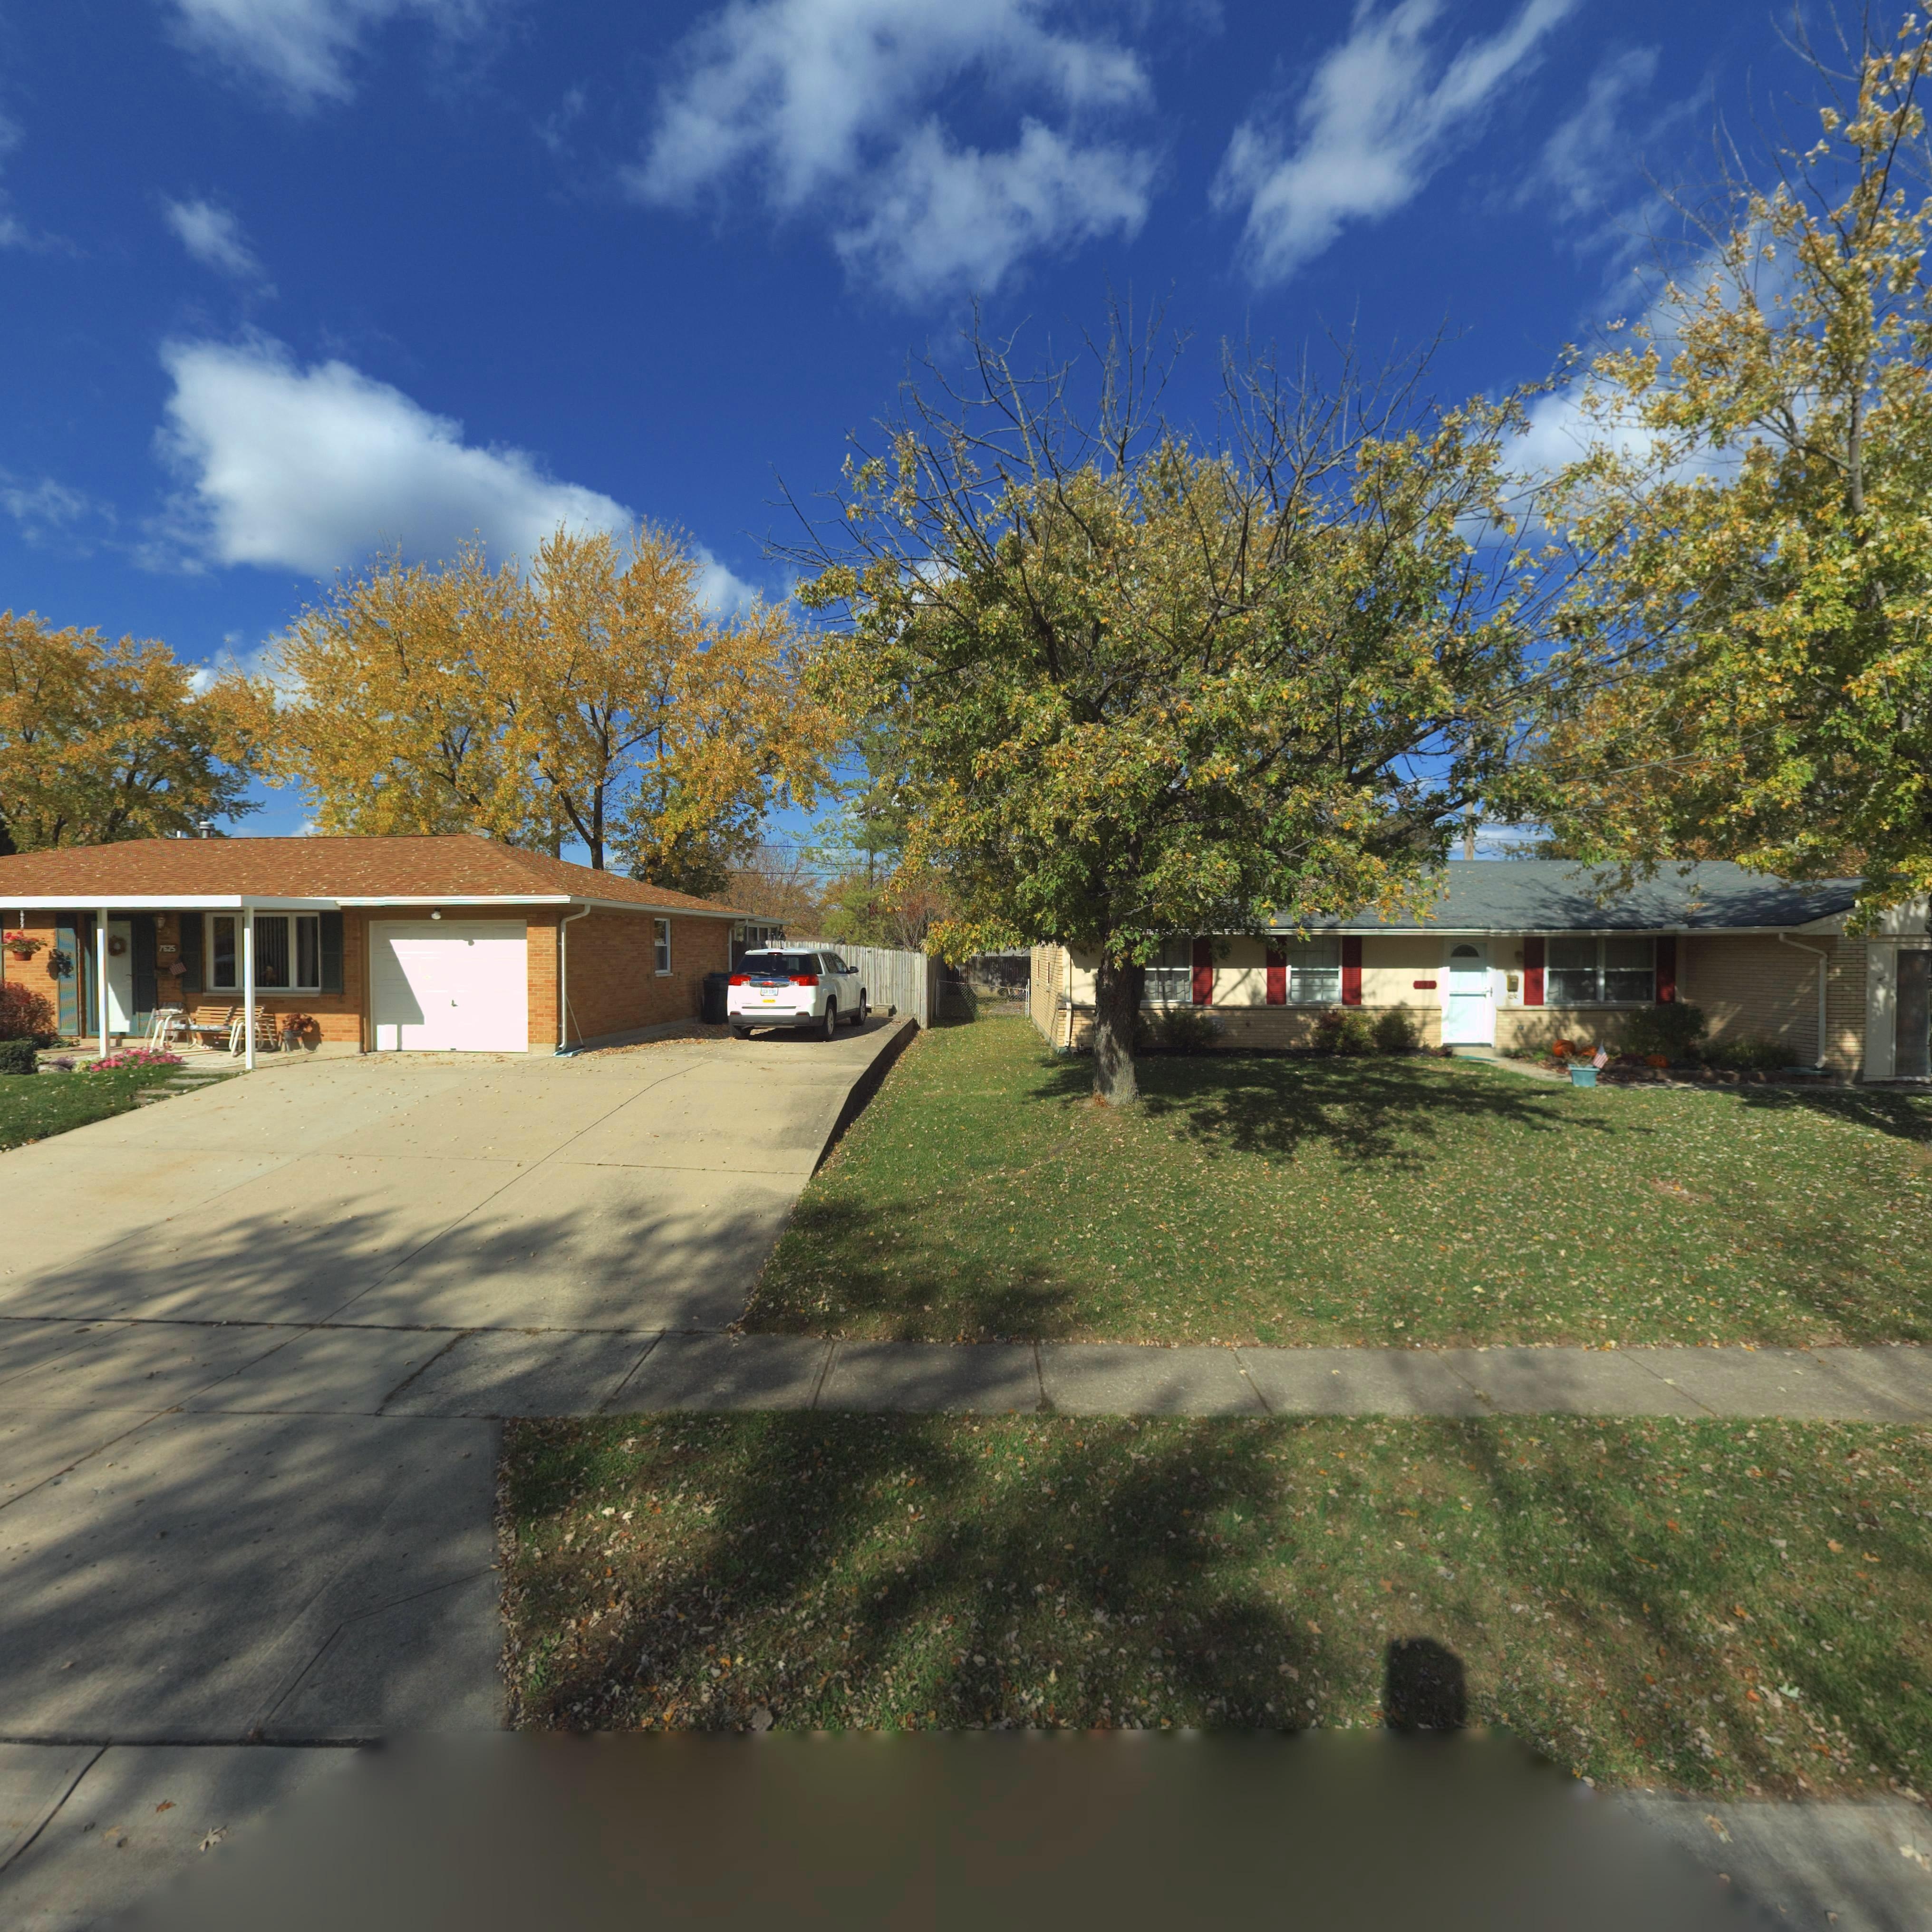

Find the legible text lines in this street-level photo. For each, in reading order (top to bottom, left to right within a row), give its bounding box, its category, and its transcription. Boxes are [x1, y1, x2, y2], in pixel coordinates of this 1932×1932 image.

[159, 945, 176, 952] StreetNumber: 7625
[1416, 981, 1434, 988] StreetNumber: 763*